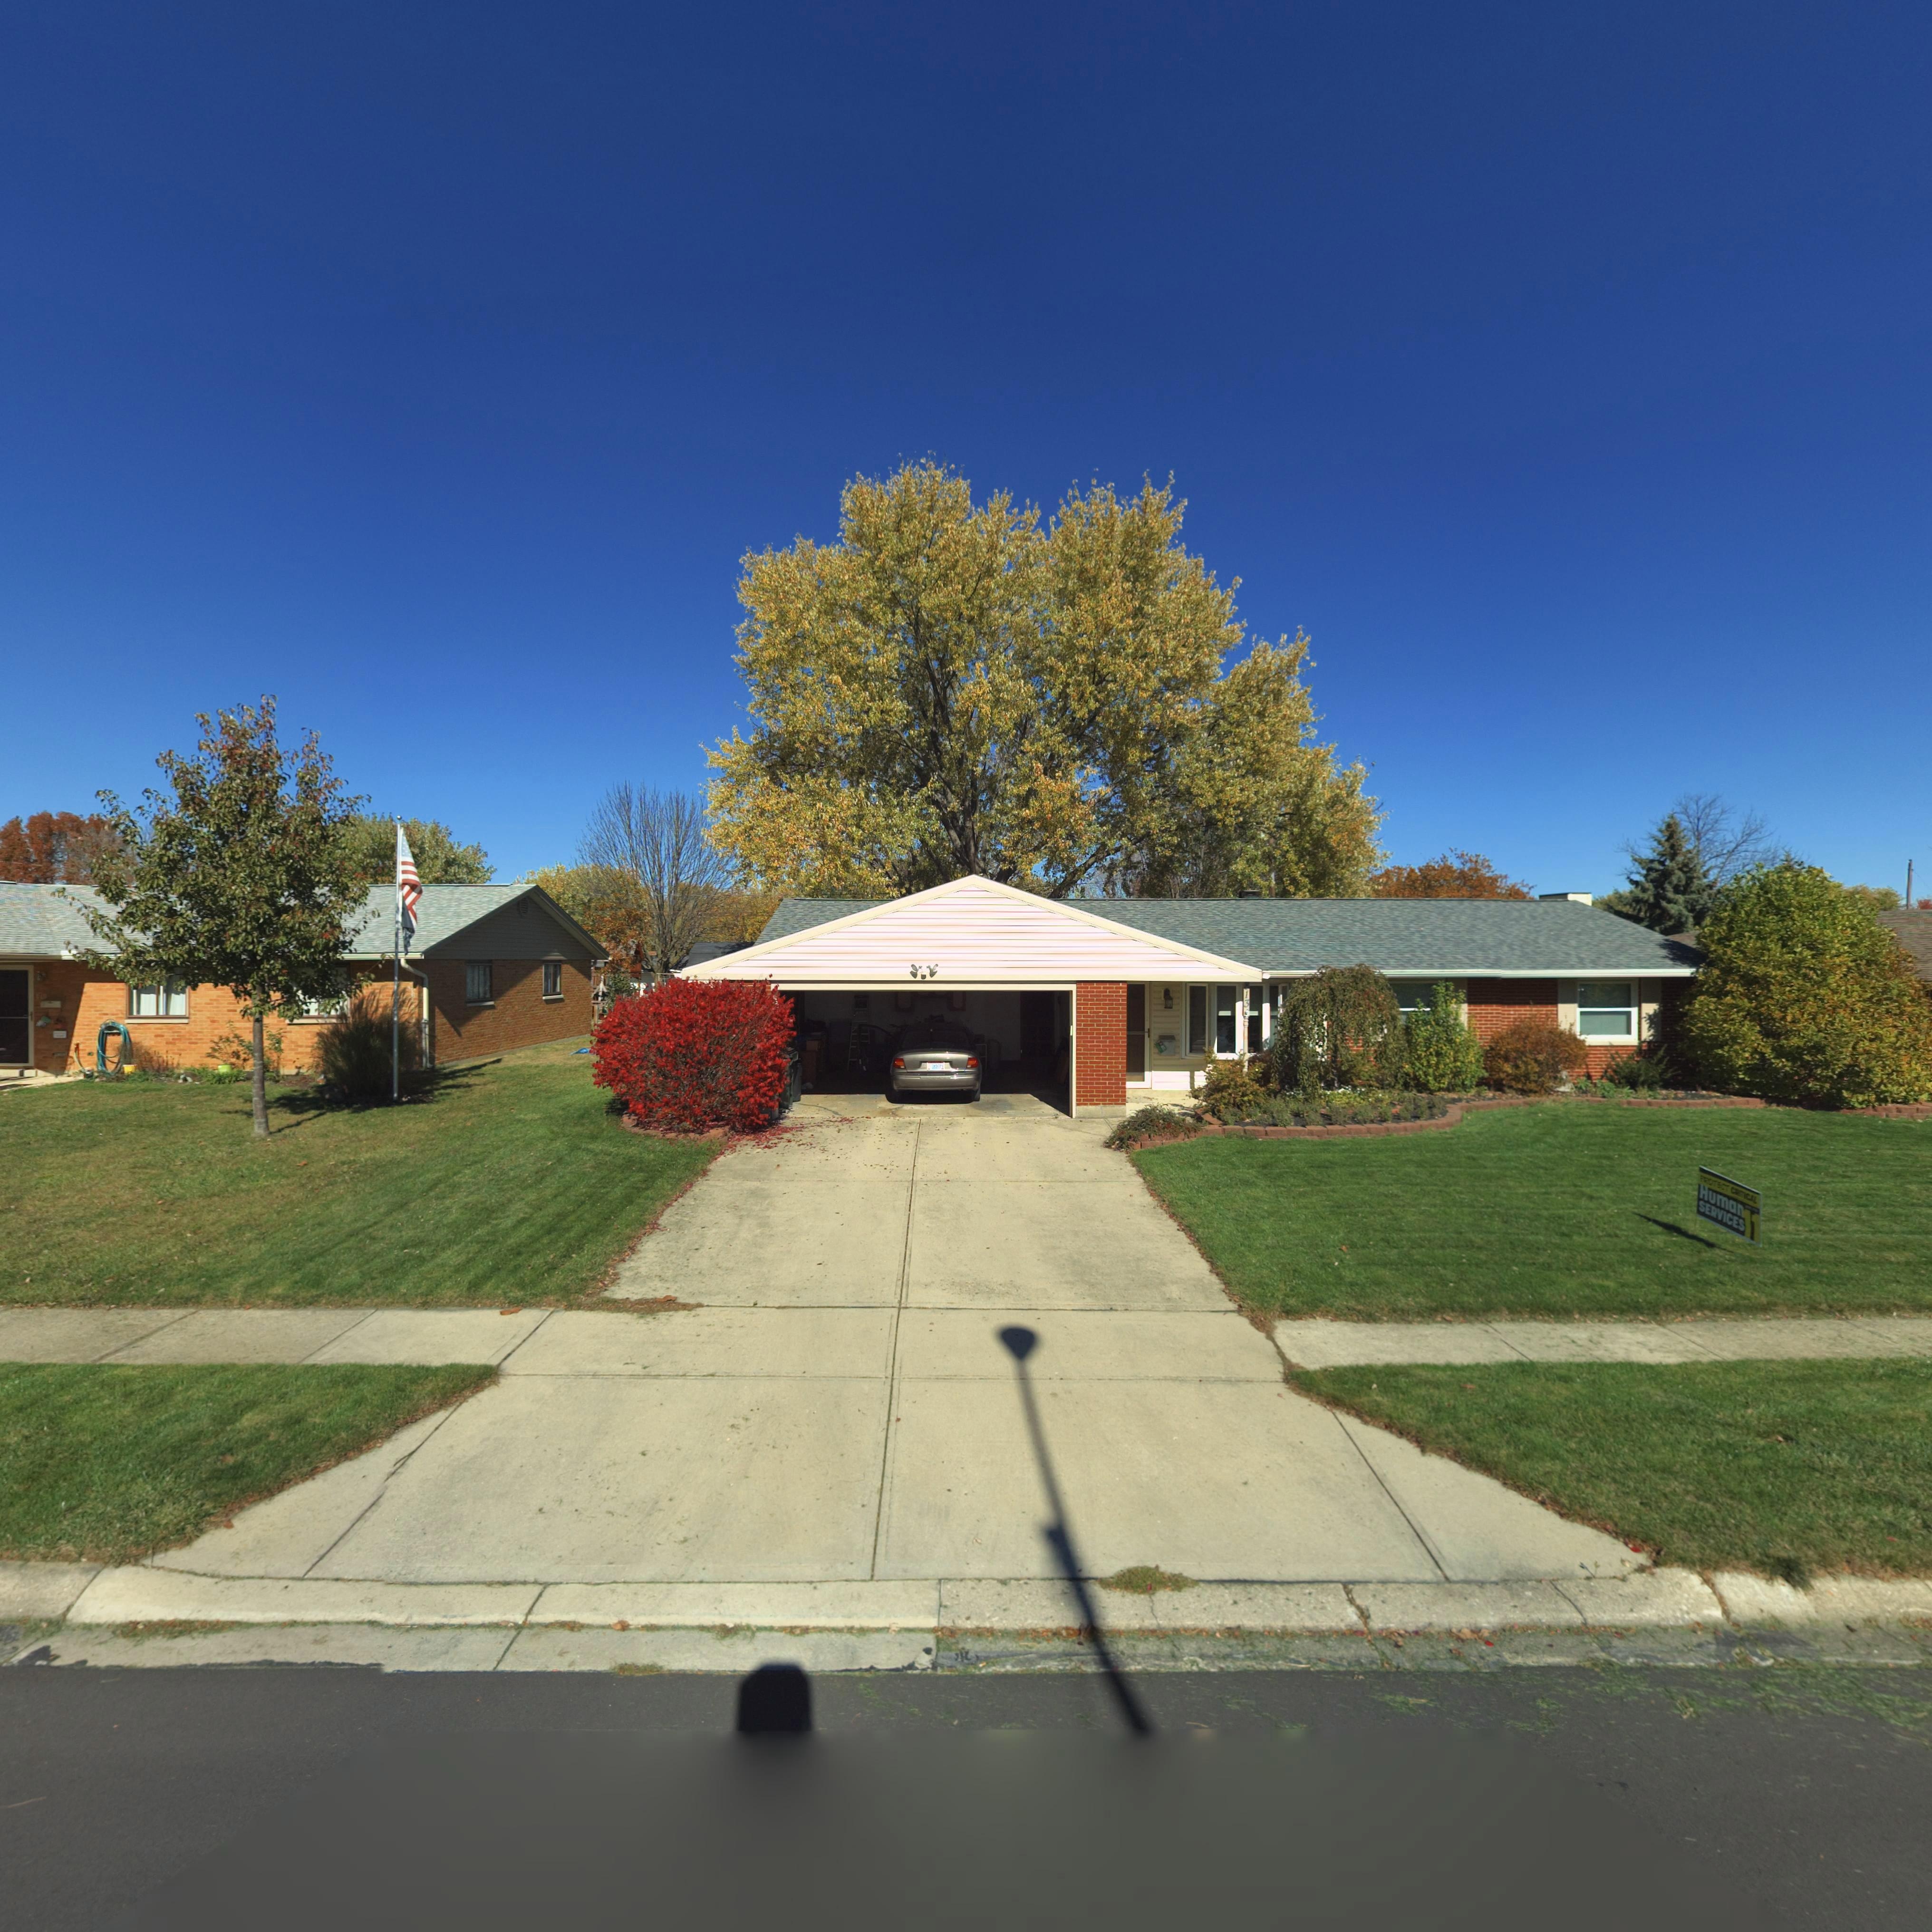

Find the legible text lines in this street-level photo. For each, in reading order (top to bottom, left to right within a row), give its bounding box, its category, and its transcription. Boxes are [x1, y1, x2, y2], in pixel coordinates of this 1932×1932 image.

[35, 992, 48, 1000] StreetNumber: *1*
[1243, 991, 1250, 1008] StreetNumber: 13